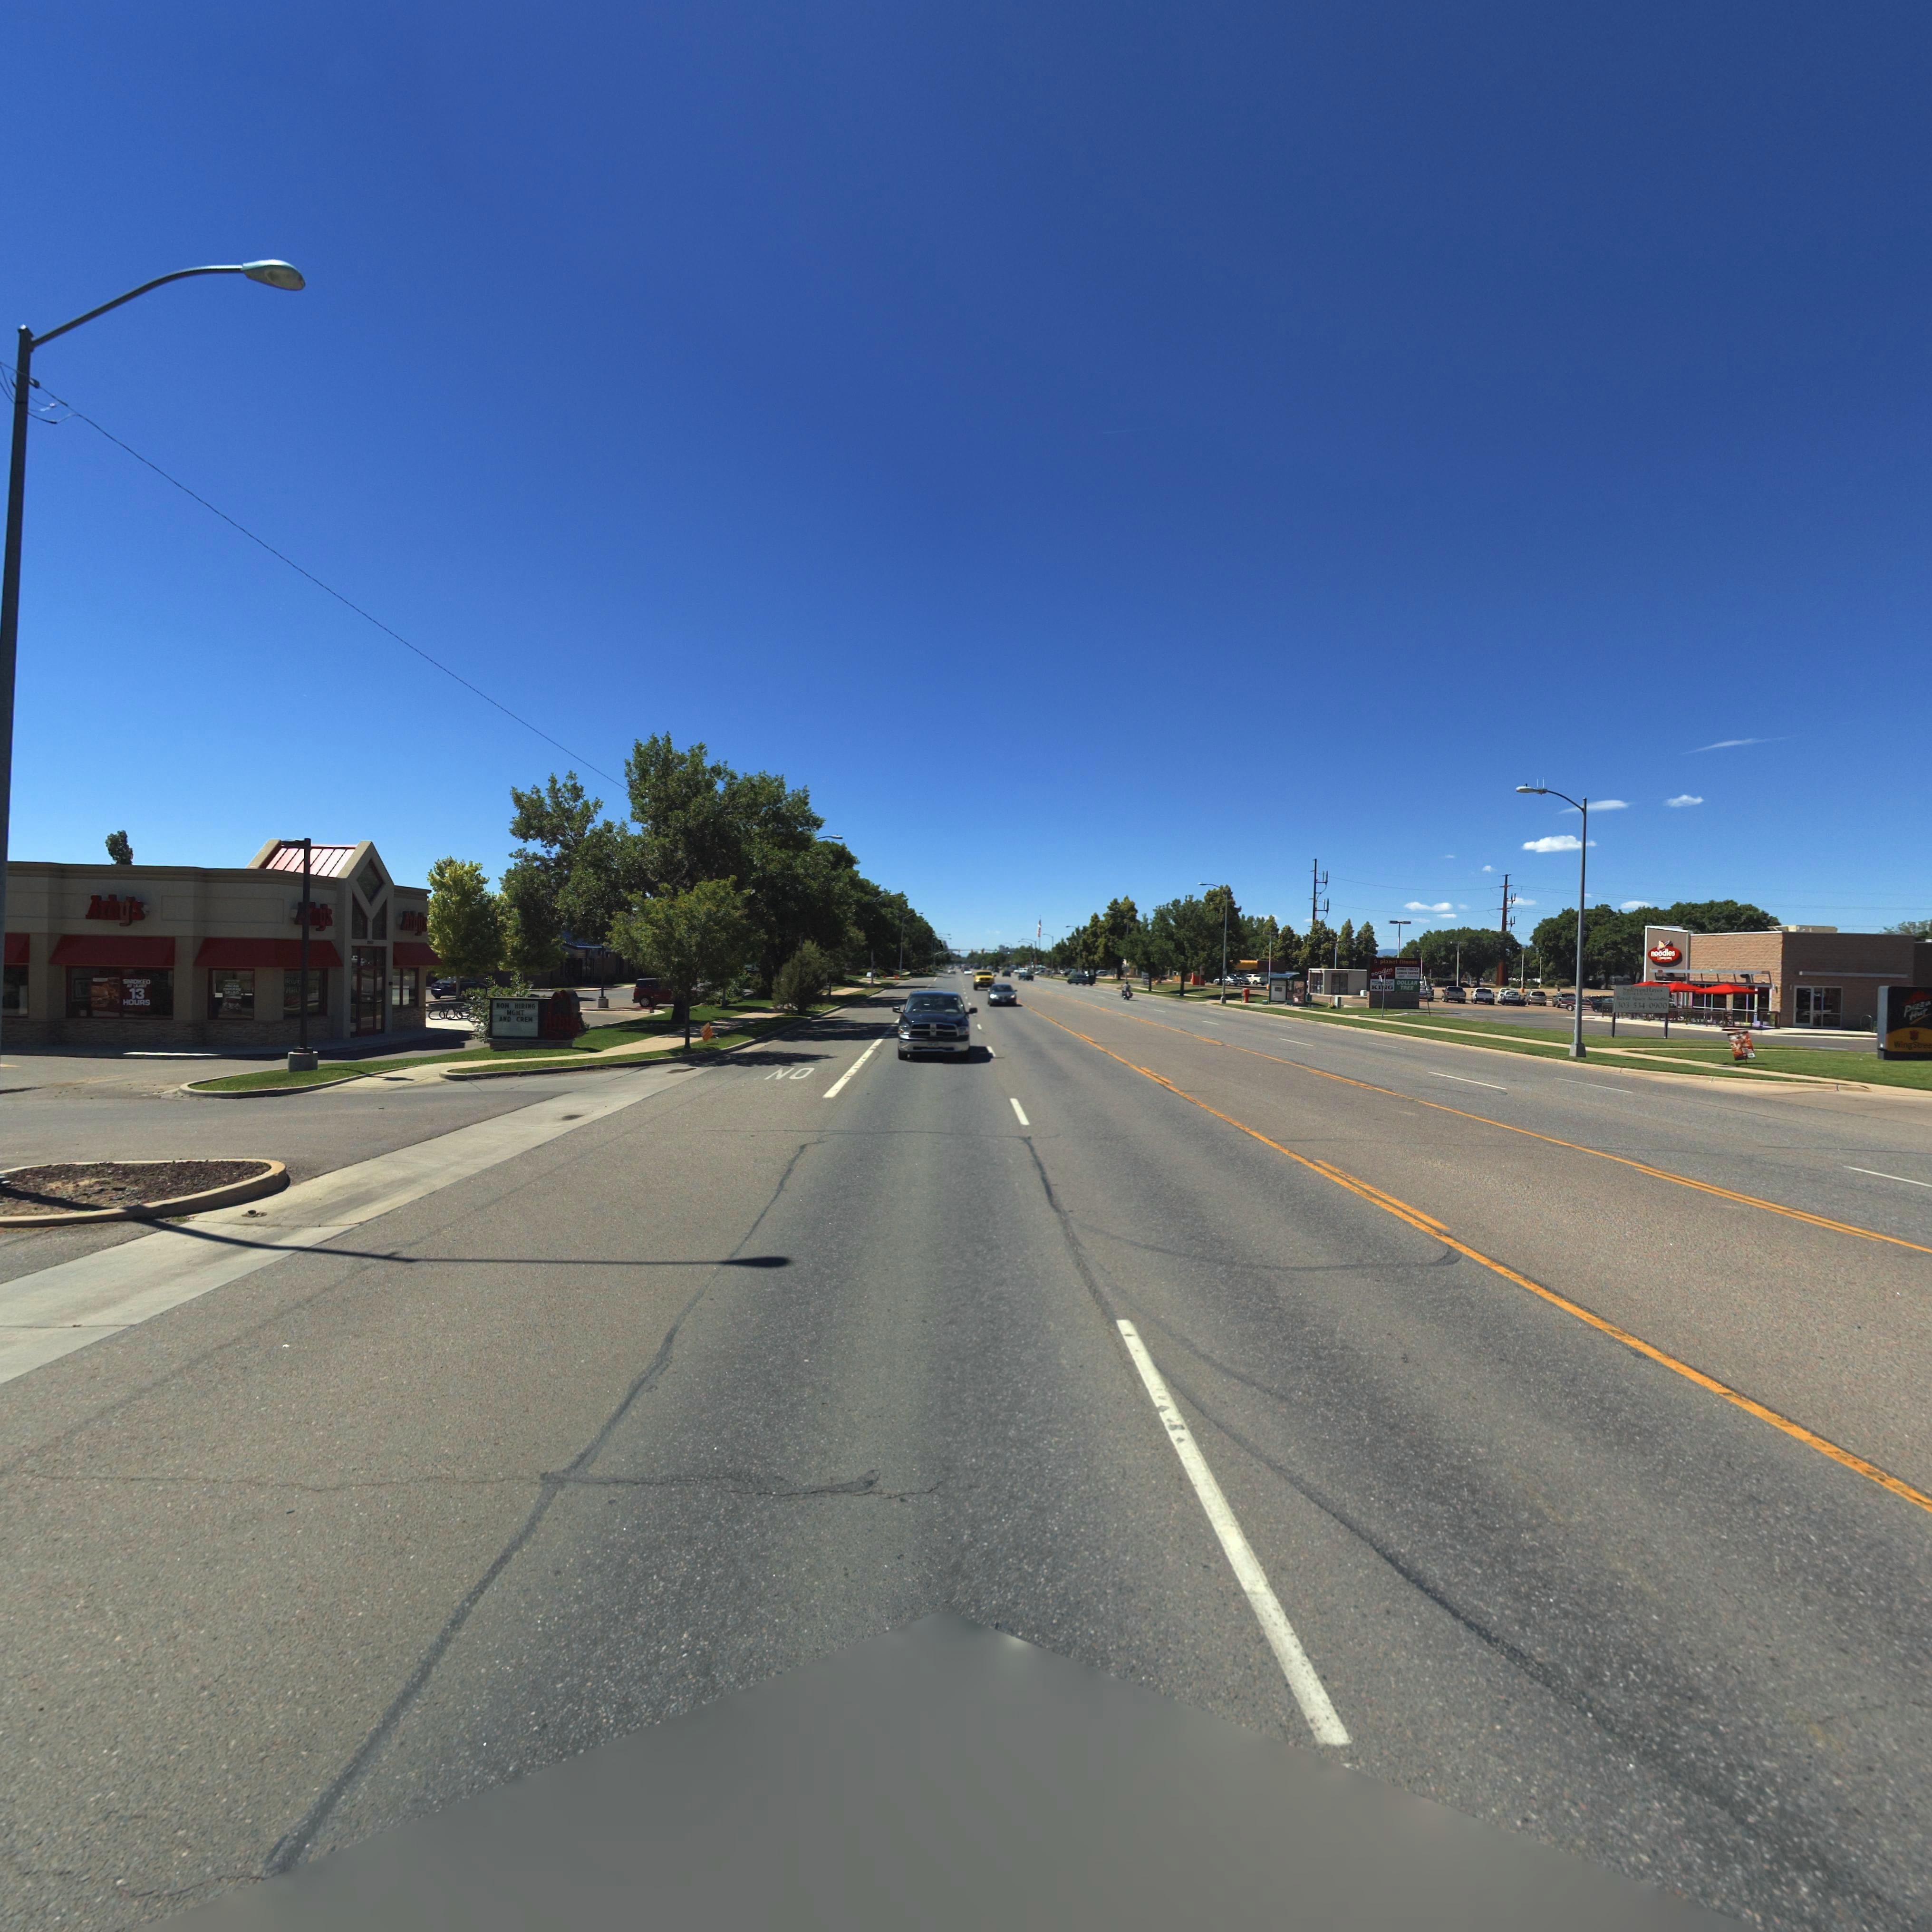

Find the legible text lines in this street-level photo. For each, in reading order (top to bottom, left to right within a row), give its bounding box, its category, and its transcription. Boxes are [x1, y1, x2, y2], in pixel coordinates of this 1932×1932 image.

[84, 893, 145, 927] BusinessName: Arby's
[293, 901, 334, 932] BusinessName: A*by's
[399, 909, 427, 936] BusinessName: Arby's
[1650, 948, 1676, 956] BusinessName: noodles
[1380, 958, 1418, 965] BusinessName: planet **tn***
[1371, 967, 1393, 976] BusinessName: noodles
[1372, 980, 1391, 985] BusinessName: TO***CO
[1372, 985, 1393, 990] BusinessName: KING
[1396, 980, 1417, 985] BusinessName: DOLLAR
[1400, 985, 1414, 990] BusinessName: TREE
[1903, 1000, 1932, 1018] BusinessName: Pizza
[1908, 1007, 1928, 1021] BusinessName: Hut
[542, 1010, 580, 1035] BusinessName: Arby's
[1893, 1040, 1932, 1050] BusinessName: WingS**ee